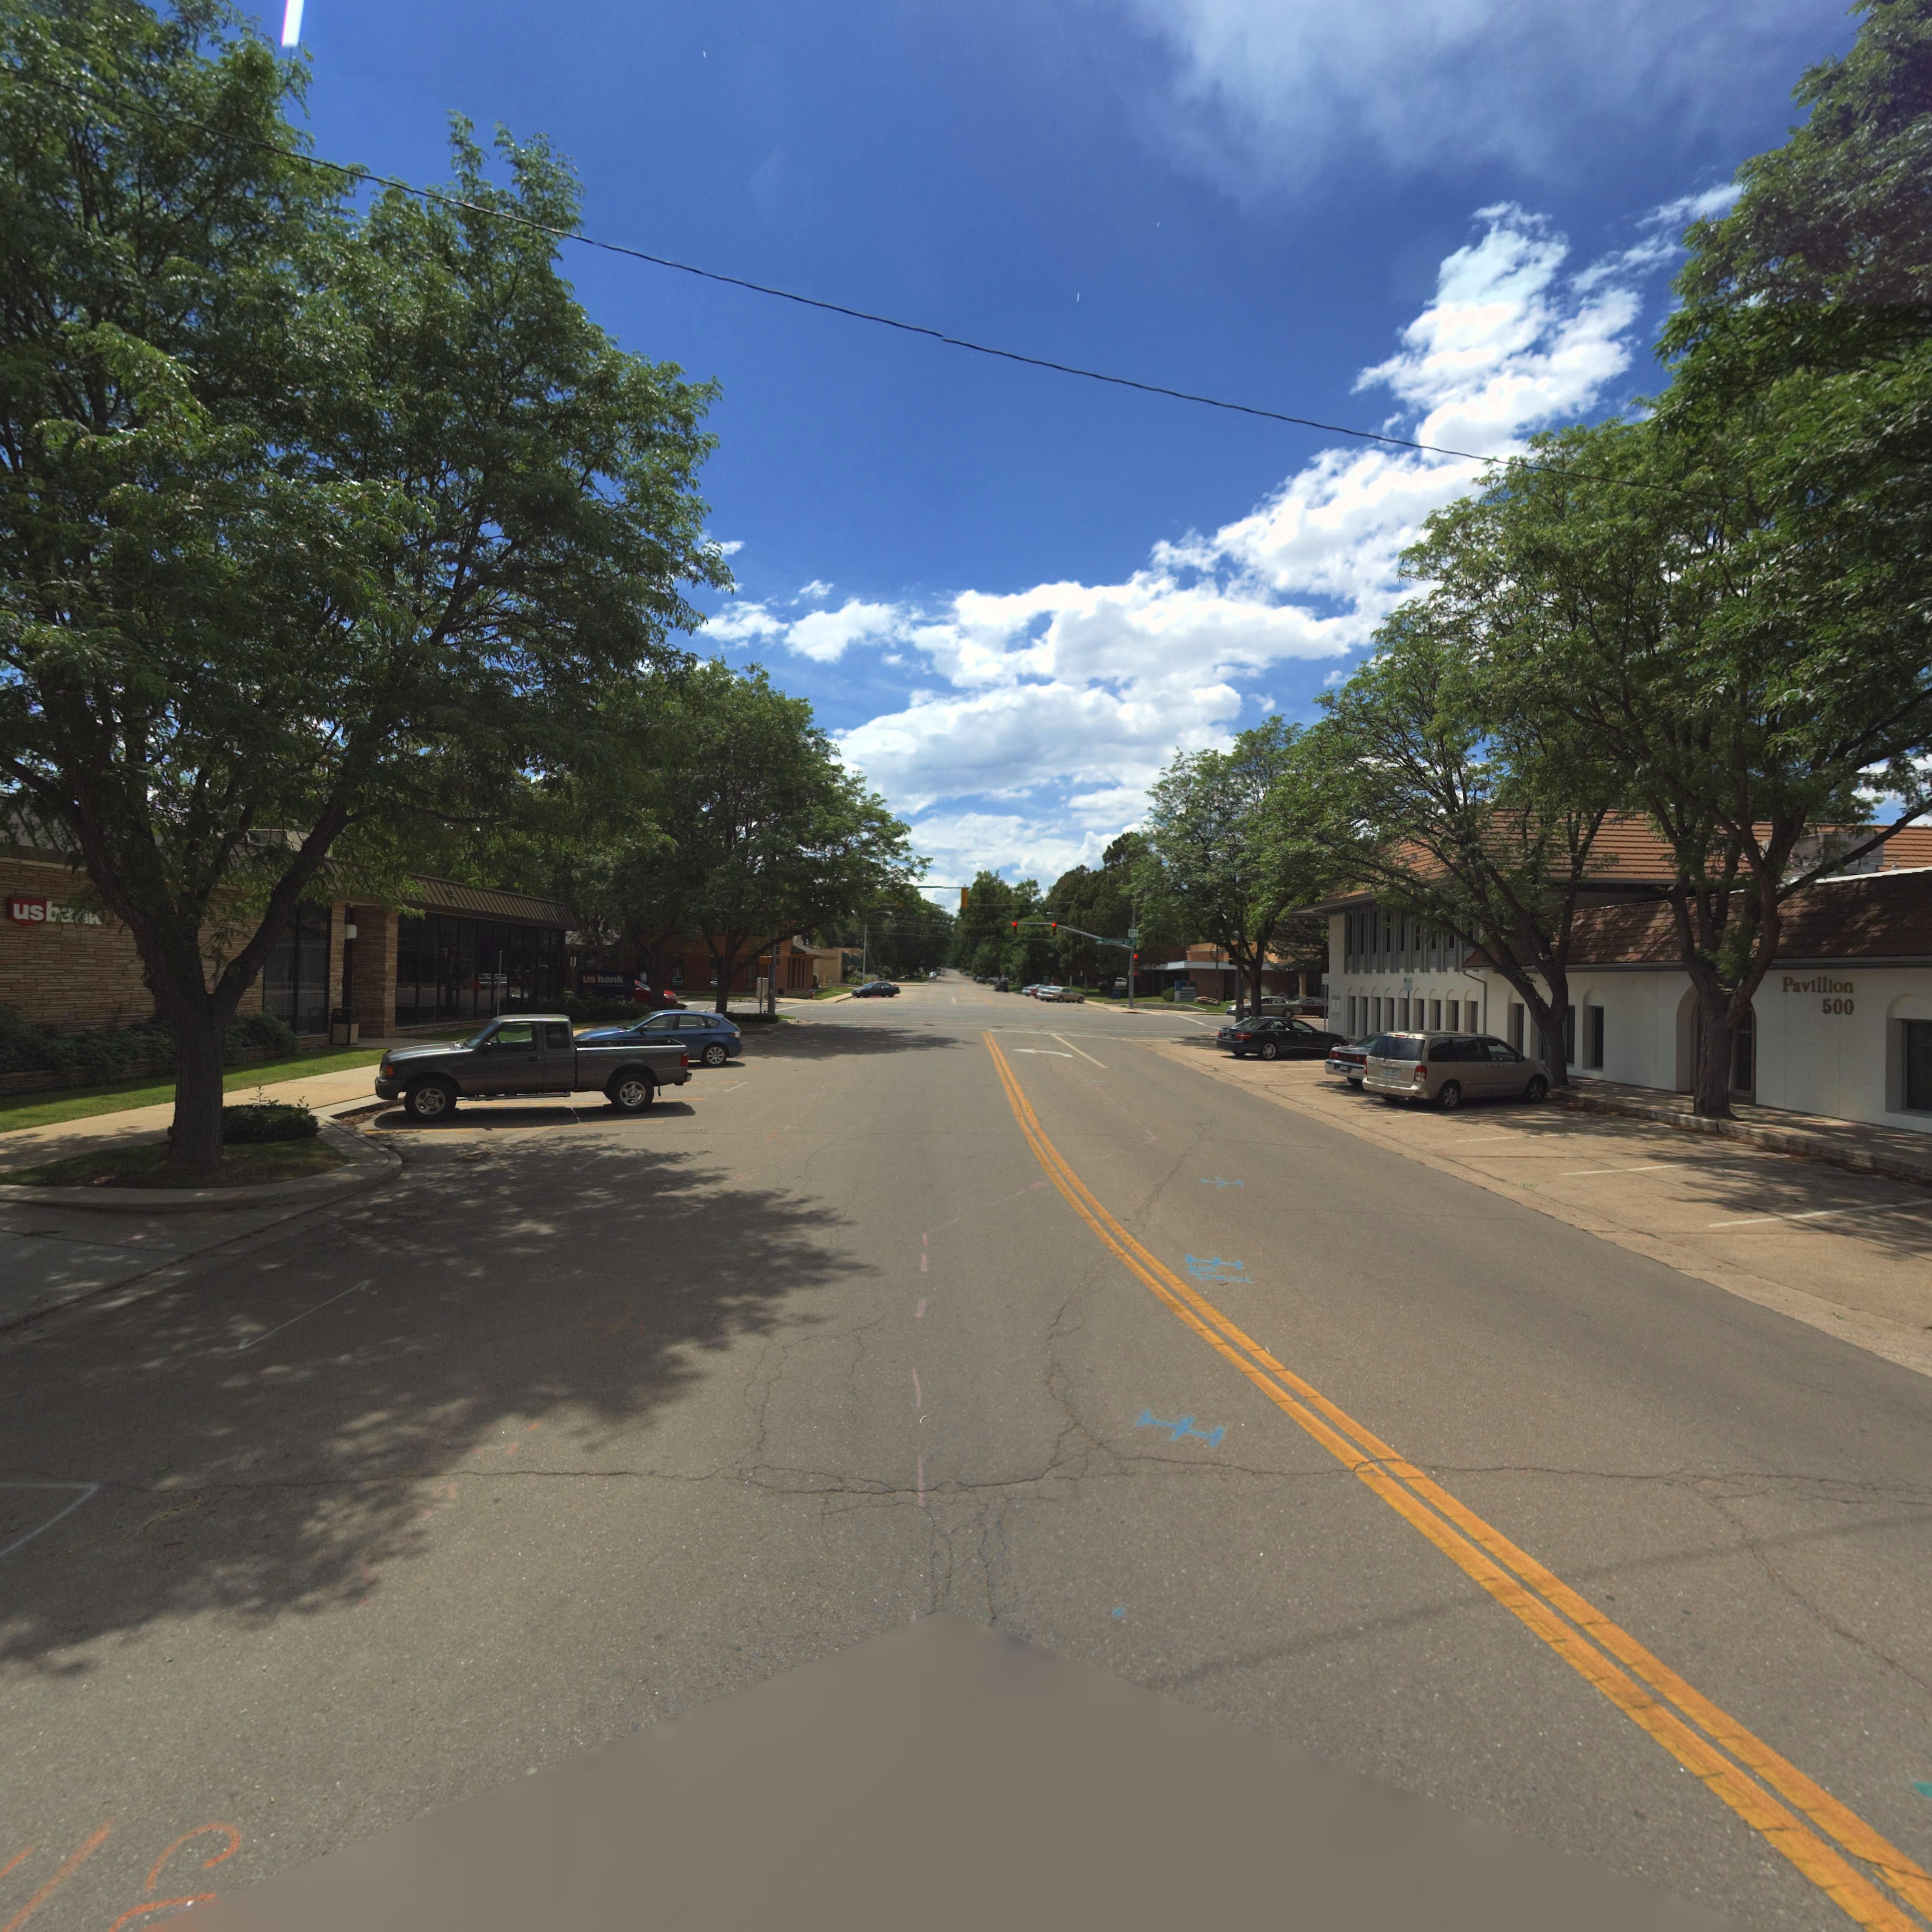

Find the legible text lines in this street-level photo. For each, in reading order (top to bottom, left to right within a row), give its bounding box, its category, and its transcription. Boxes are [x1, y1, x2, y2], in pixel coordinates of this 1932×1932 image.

[12, 900, 102, 925] BusinessName: us****
[1103, 939, 1130, 944] StreetName: Coffman St
[583, 975, 623, 983] BusinessName: usbank
[1821, 997, 1855, 1015] StreetNumber: 500